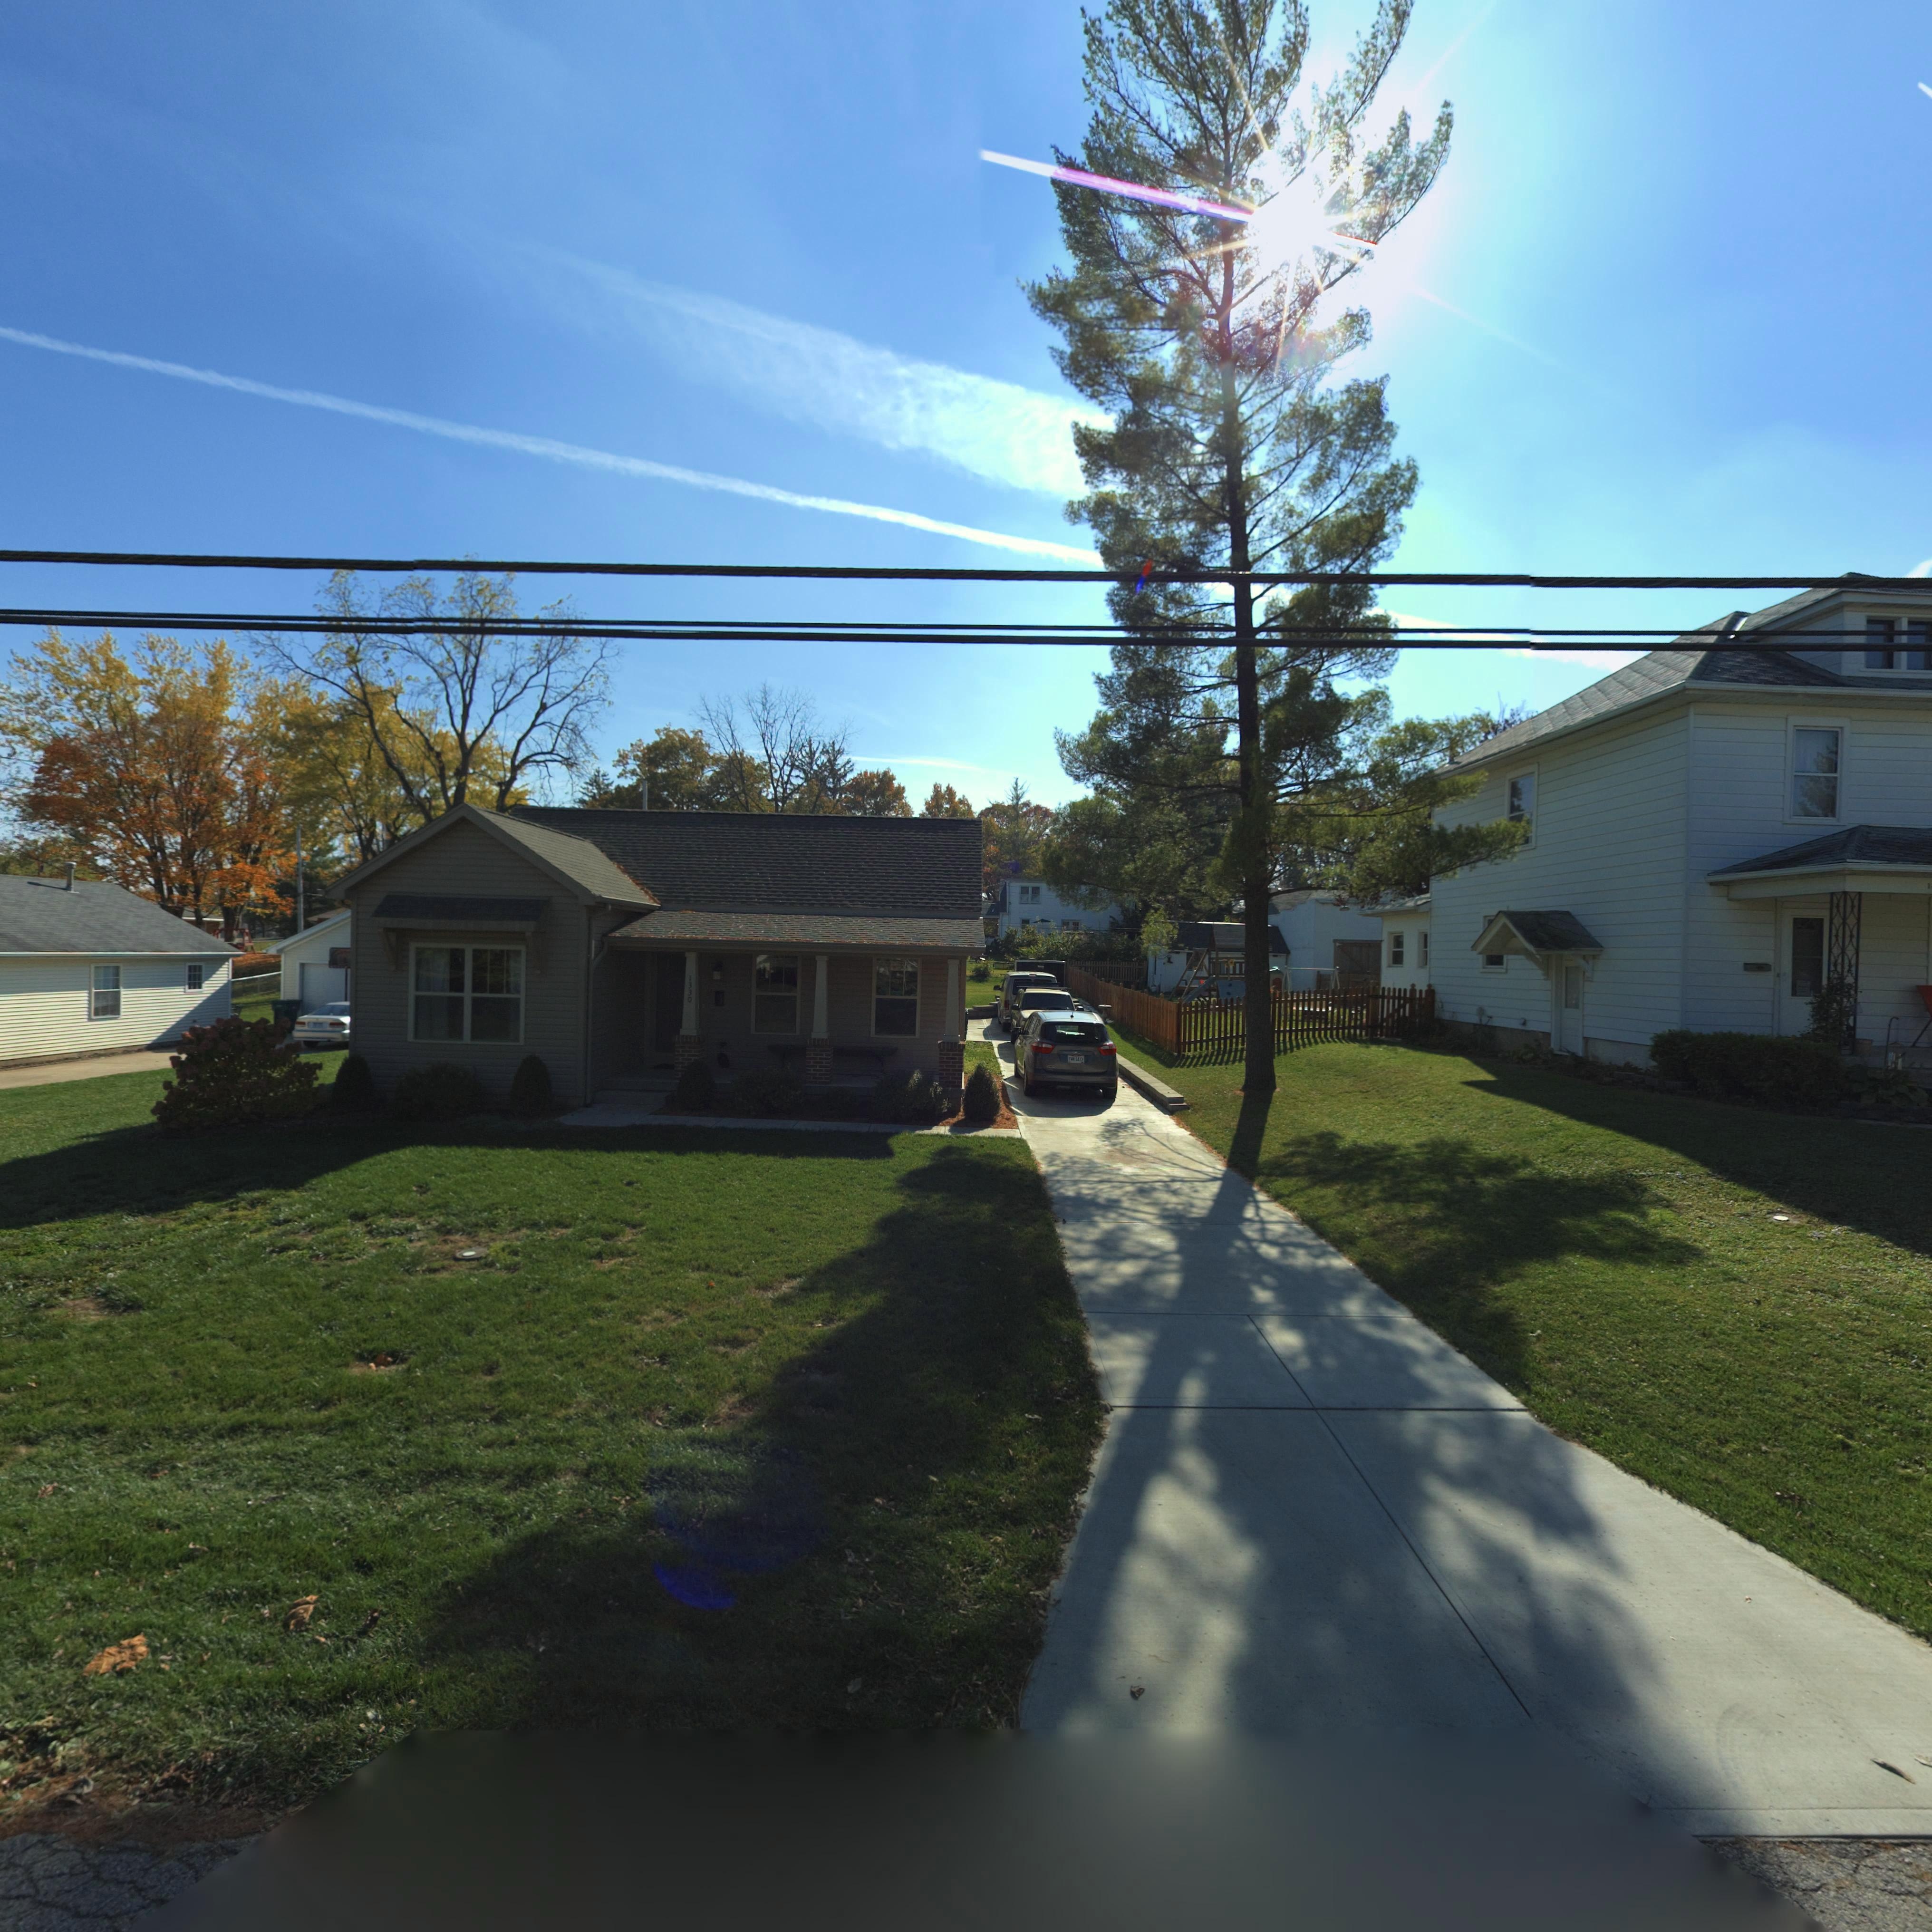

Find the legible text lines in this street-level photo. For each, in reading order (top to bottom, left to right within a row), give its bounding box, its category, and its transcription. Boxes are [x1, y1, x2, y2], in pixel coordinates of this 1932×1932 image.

[687, 974, 693, 1003] StreetNumber: 1330
[1068, 1056, 1083, 1062] None: ***64*